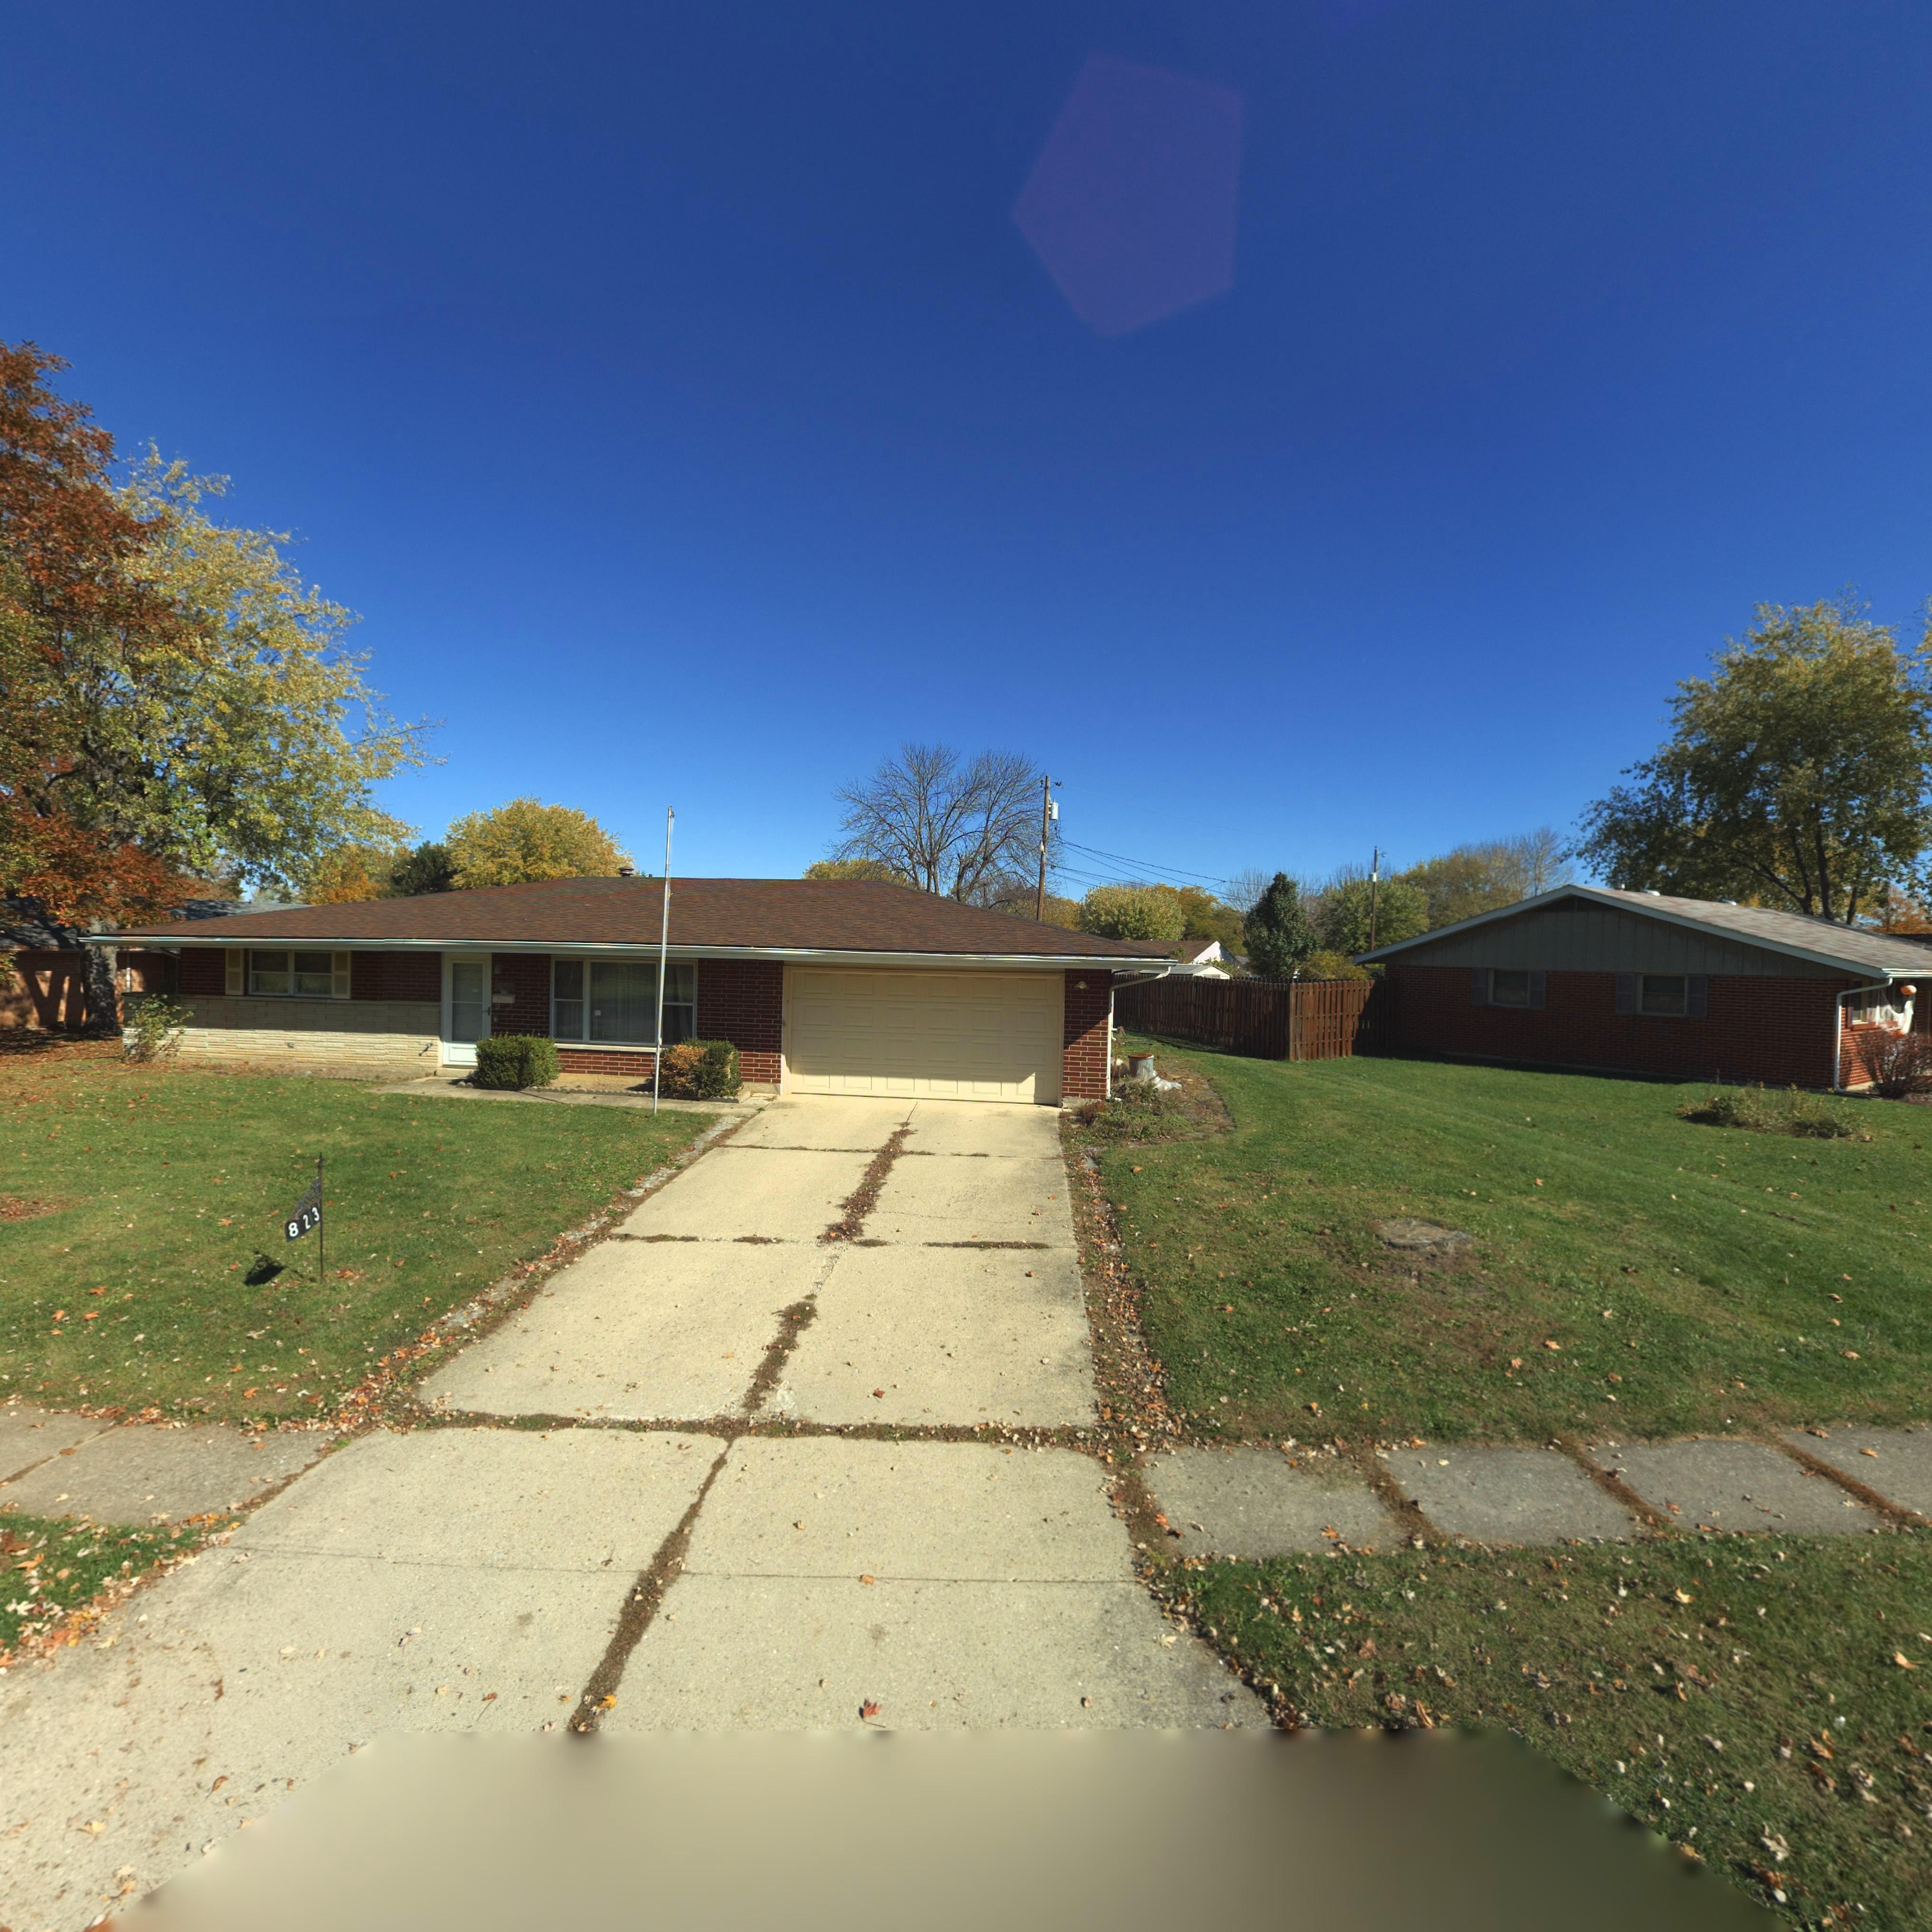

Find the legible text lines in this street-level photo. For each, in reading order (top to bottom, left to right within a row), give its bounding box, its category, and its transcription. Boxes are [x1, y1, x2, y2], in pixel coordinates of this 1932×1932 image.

[287, 1206, 320, 1237] StreetNumber: 823